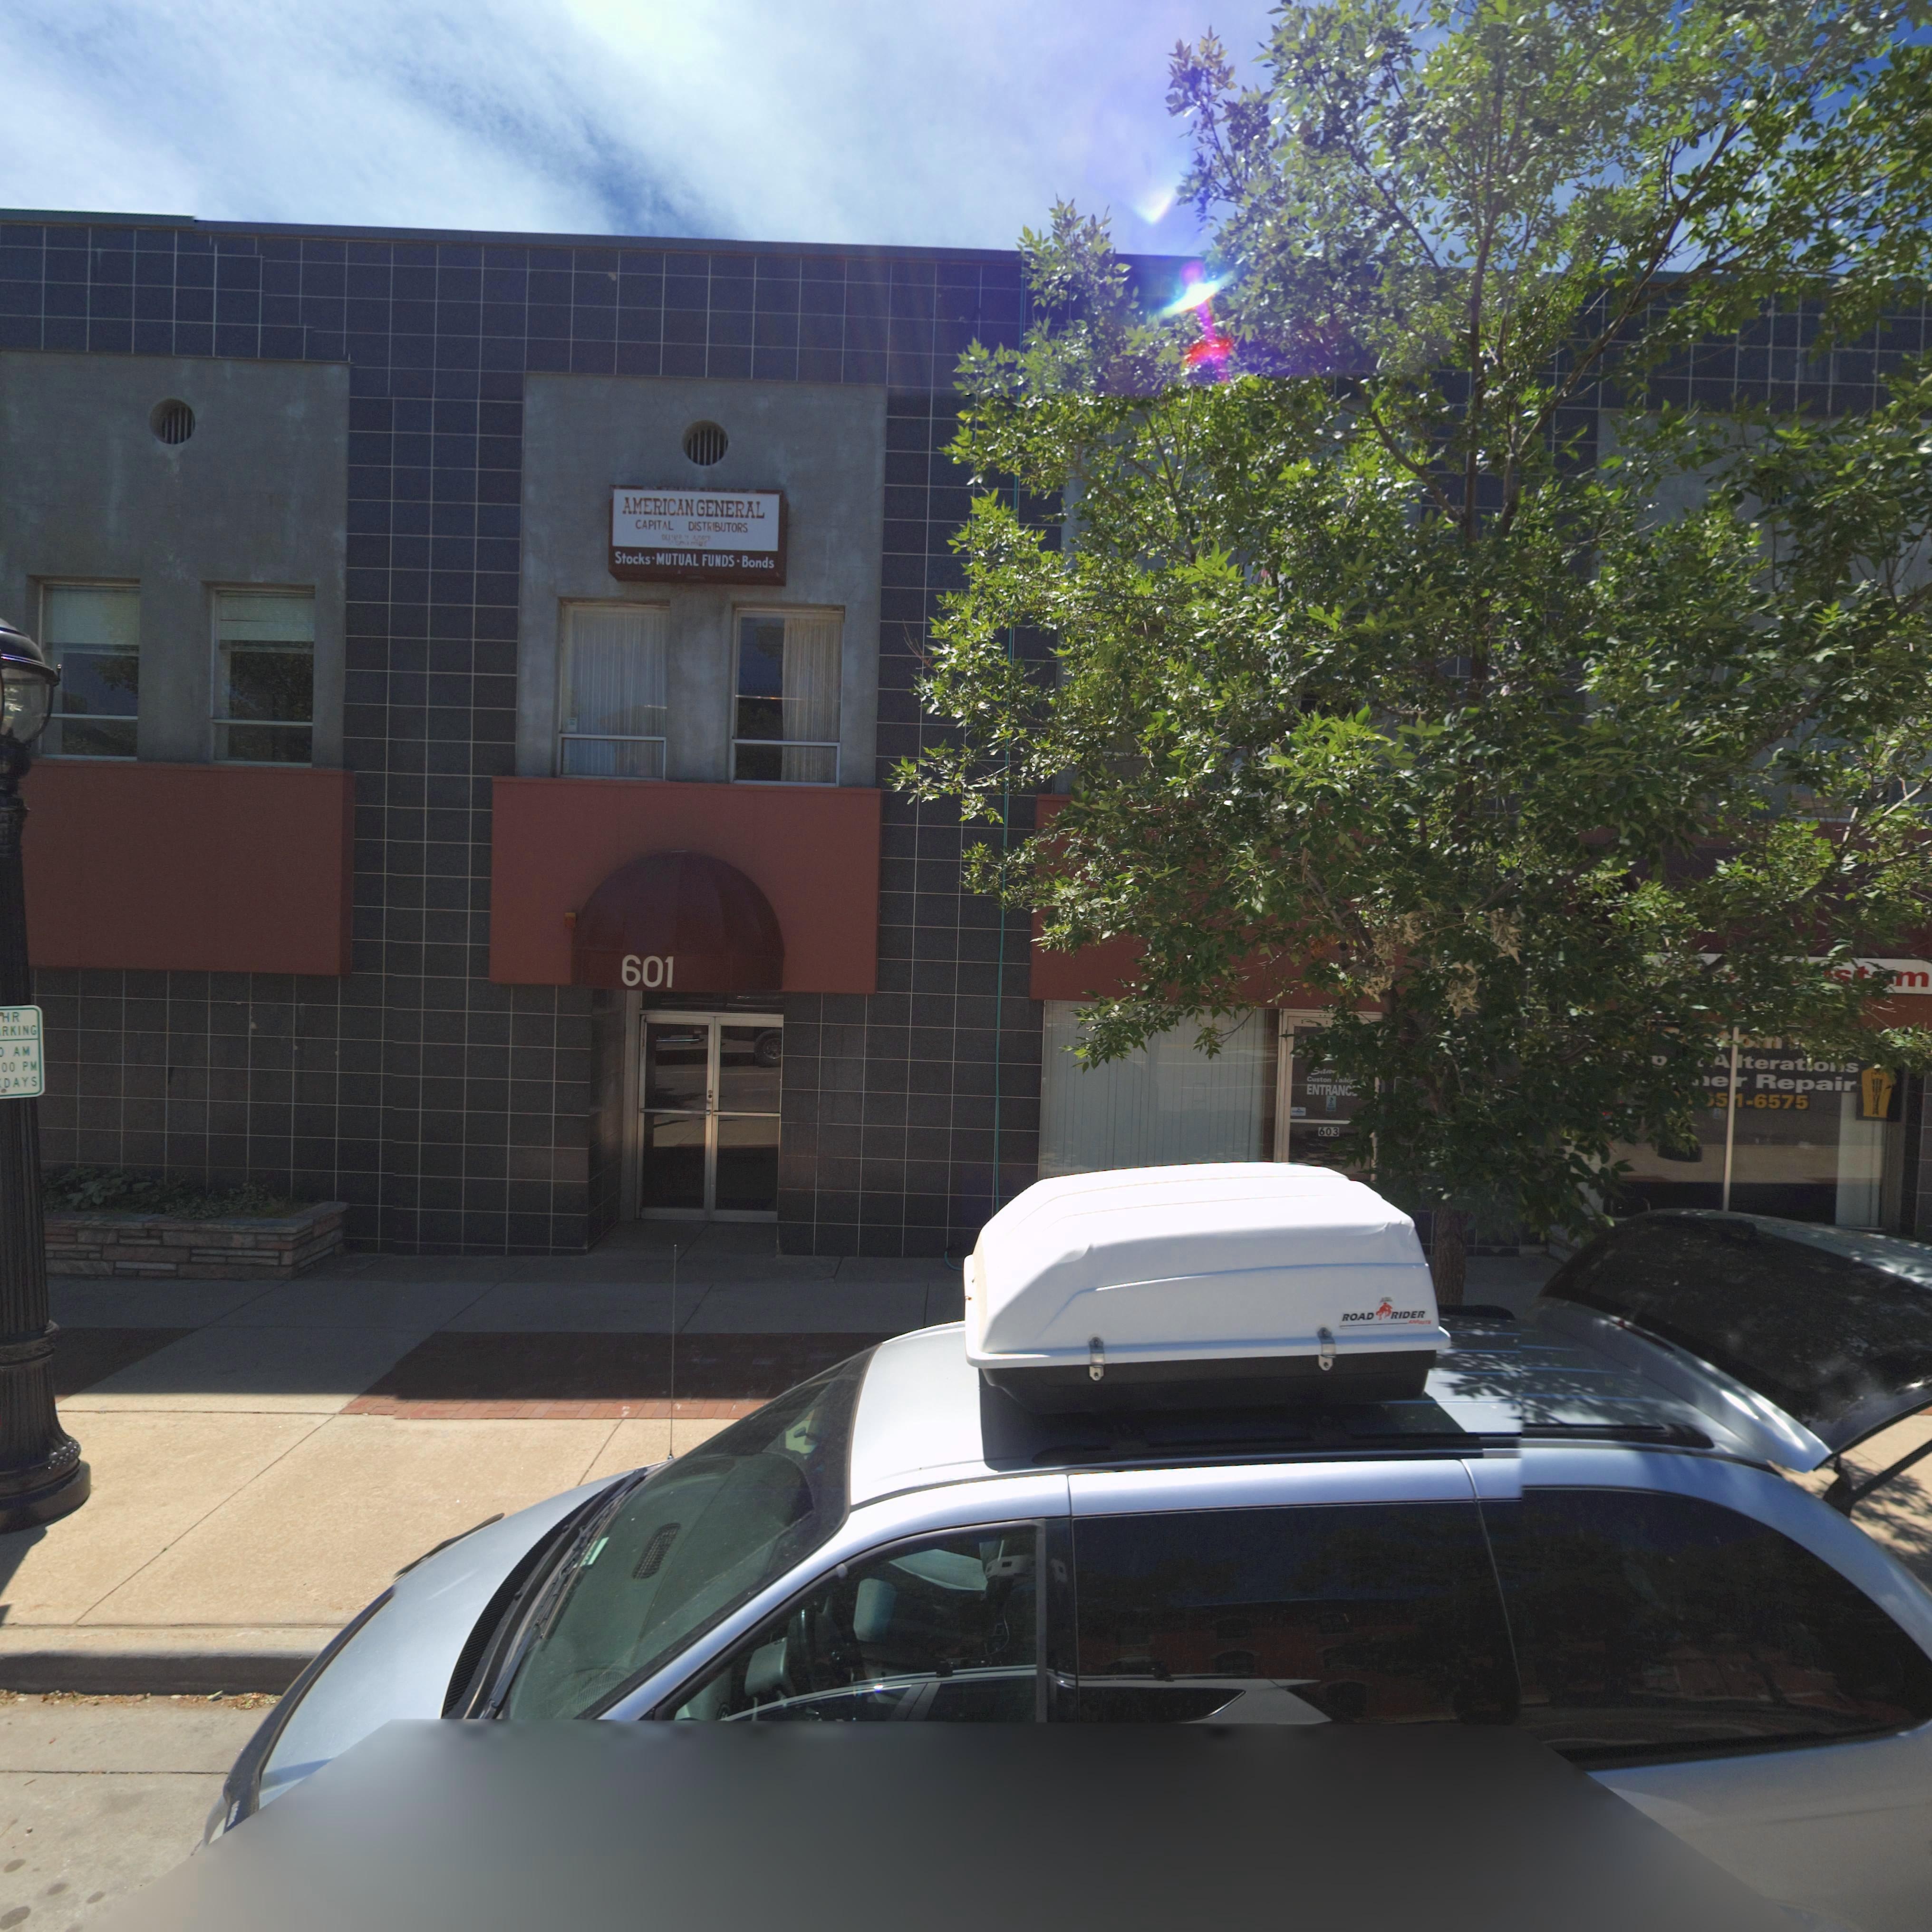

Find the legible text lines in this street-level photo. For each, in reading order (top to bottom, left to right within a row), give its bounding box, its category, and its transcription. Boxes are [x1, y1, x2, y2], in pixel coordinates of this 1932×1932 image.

[618, 495, 768, 519] BusinessName: AMERICAN GENERAL
[634, 519, 749, 533] BusinessName: CAPITAL DISTRIBUTORS
[620, 953, 675, 988] StreetNumber: 601
[1894, 970, 1930, 988] BusinessName: m
[1310, 1066, 1332, 1075] BusinessName: San
[1306, 1075, 1331, 1082] BusinessName: Custo*
[1318, 1126, 1339, 1137] StreetNumber: 603